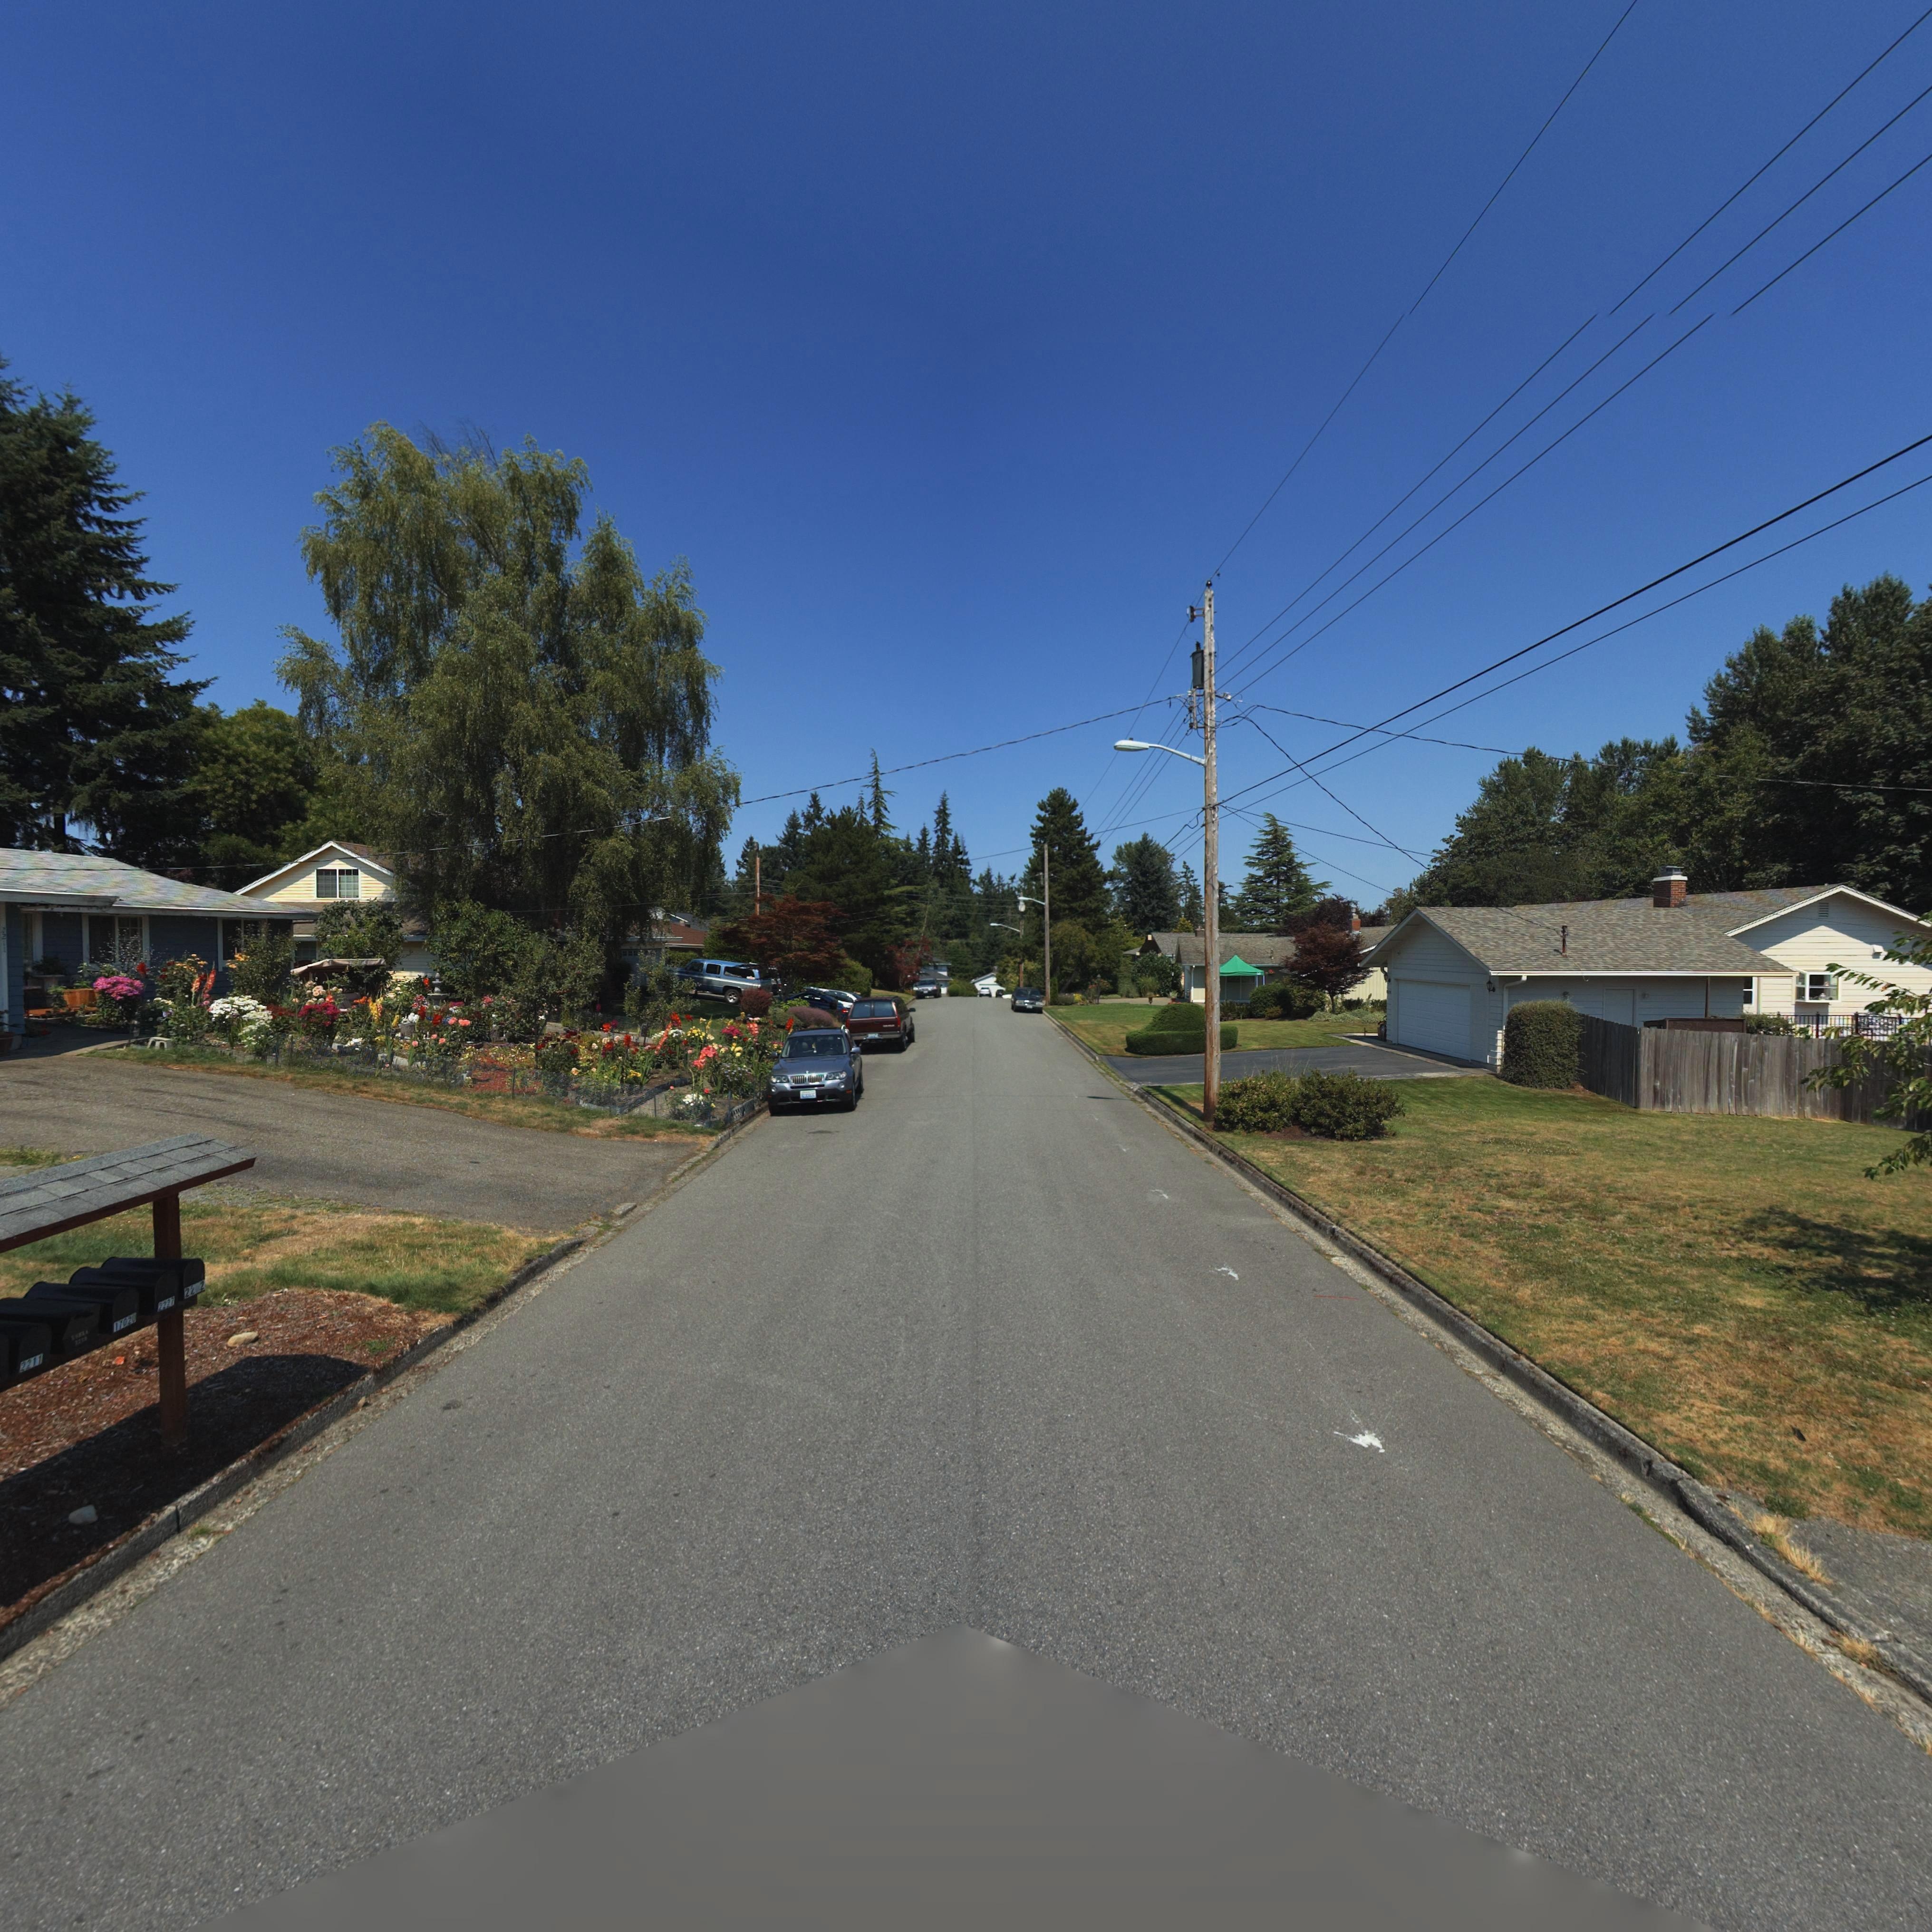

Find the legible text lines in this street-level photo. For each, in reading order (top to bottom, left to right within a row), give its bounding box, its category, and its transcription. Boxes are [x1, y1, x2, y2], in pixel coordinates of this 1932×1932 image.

[157, 1294, 176, 1312] StreetNumber: 2227
[112, 1312, 138, 1333] StreetNumber: 17020
[18, 1352, 44, 1373] StreetNumber: 2211